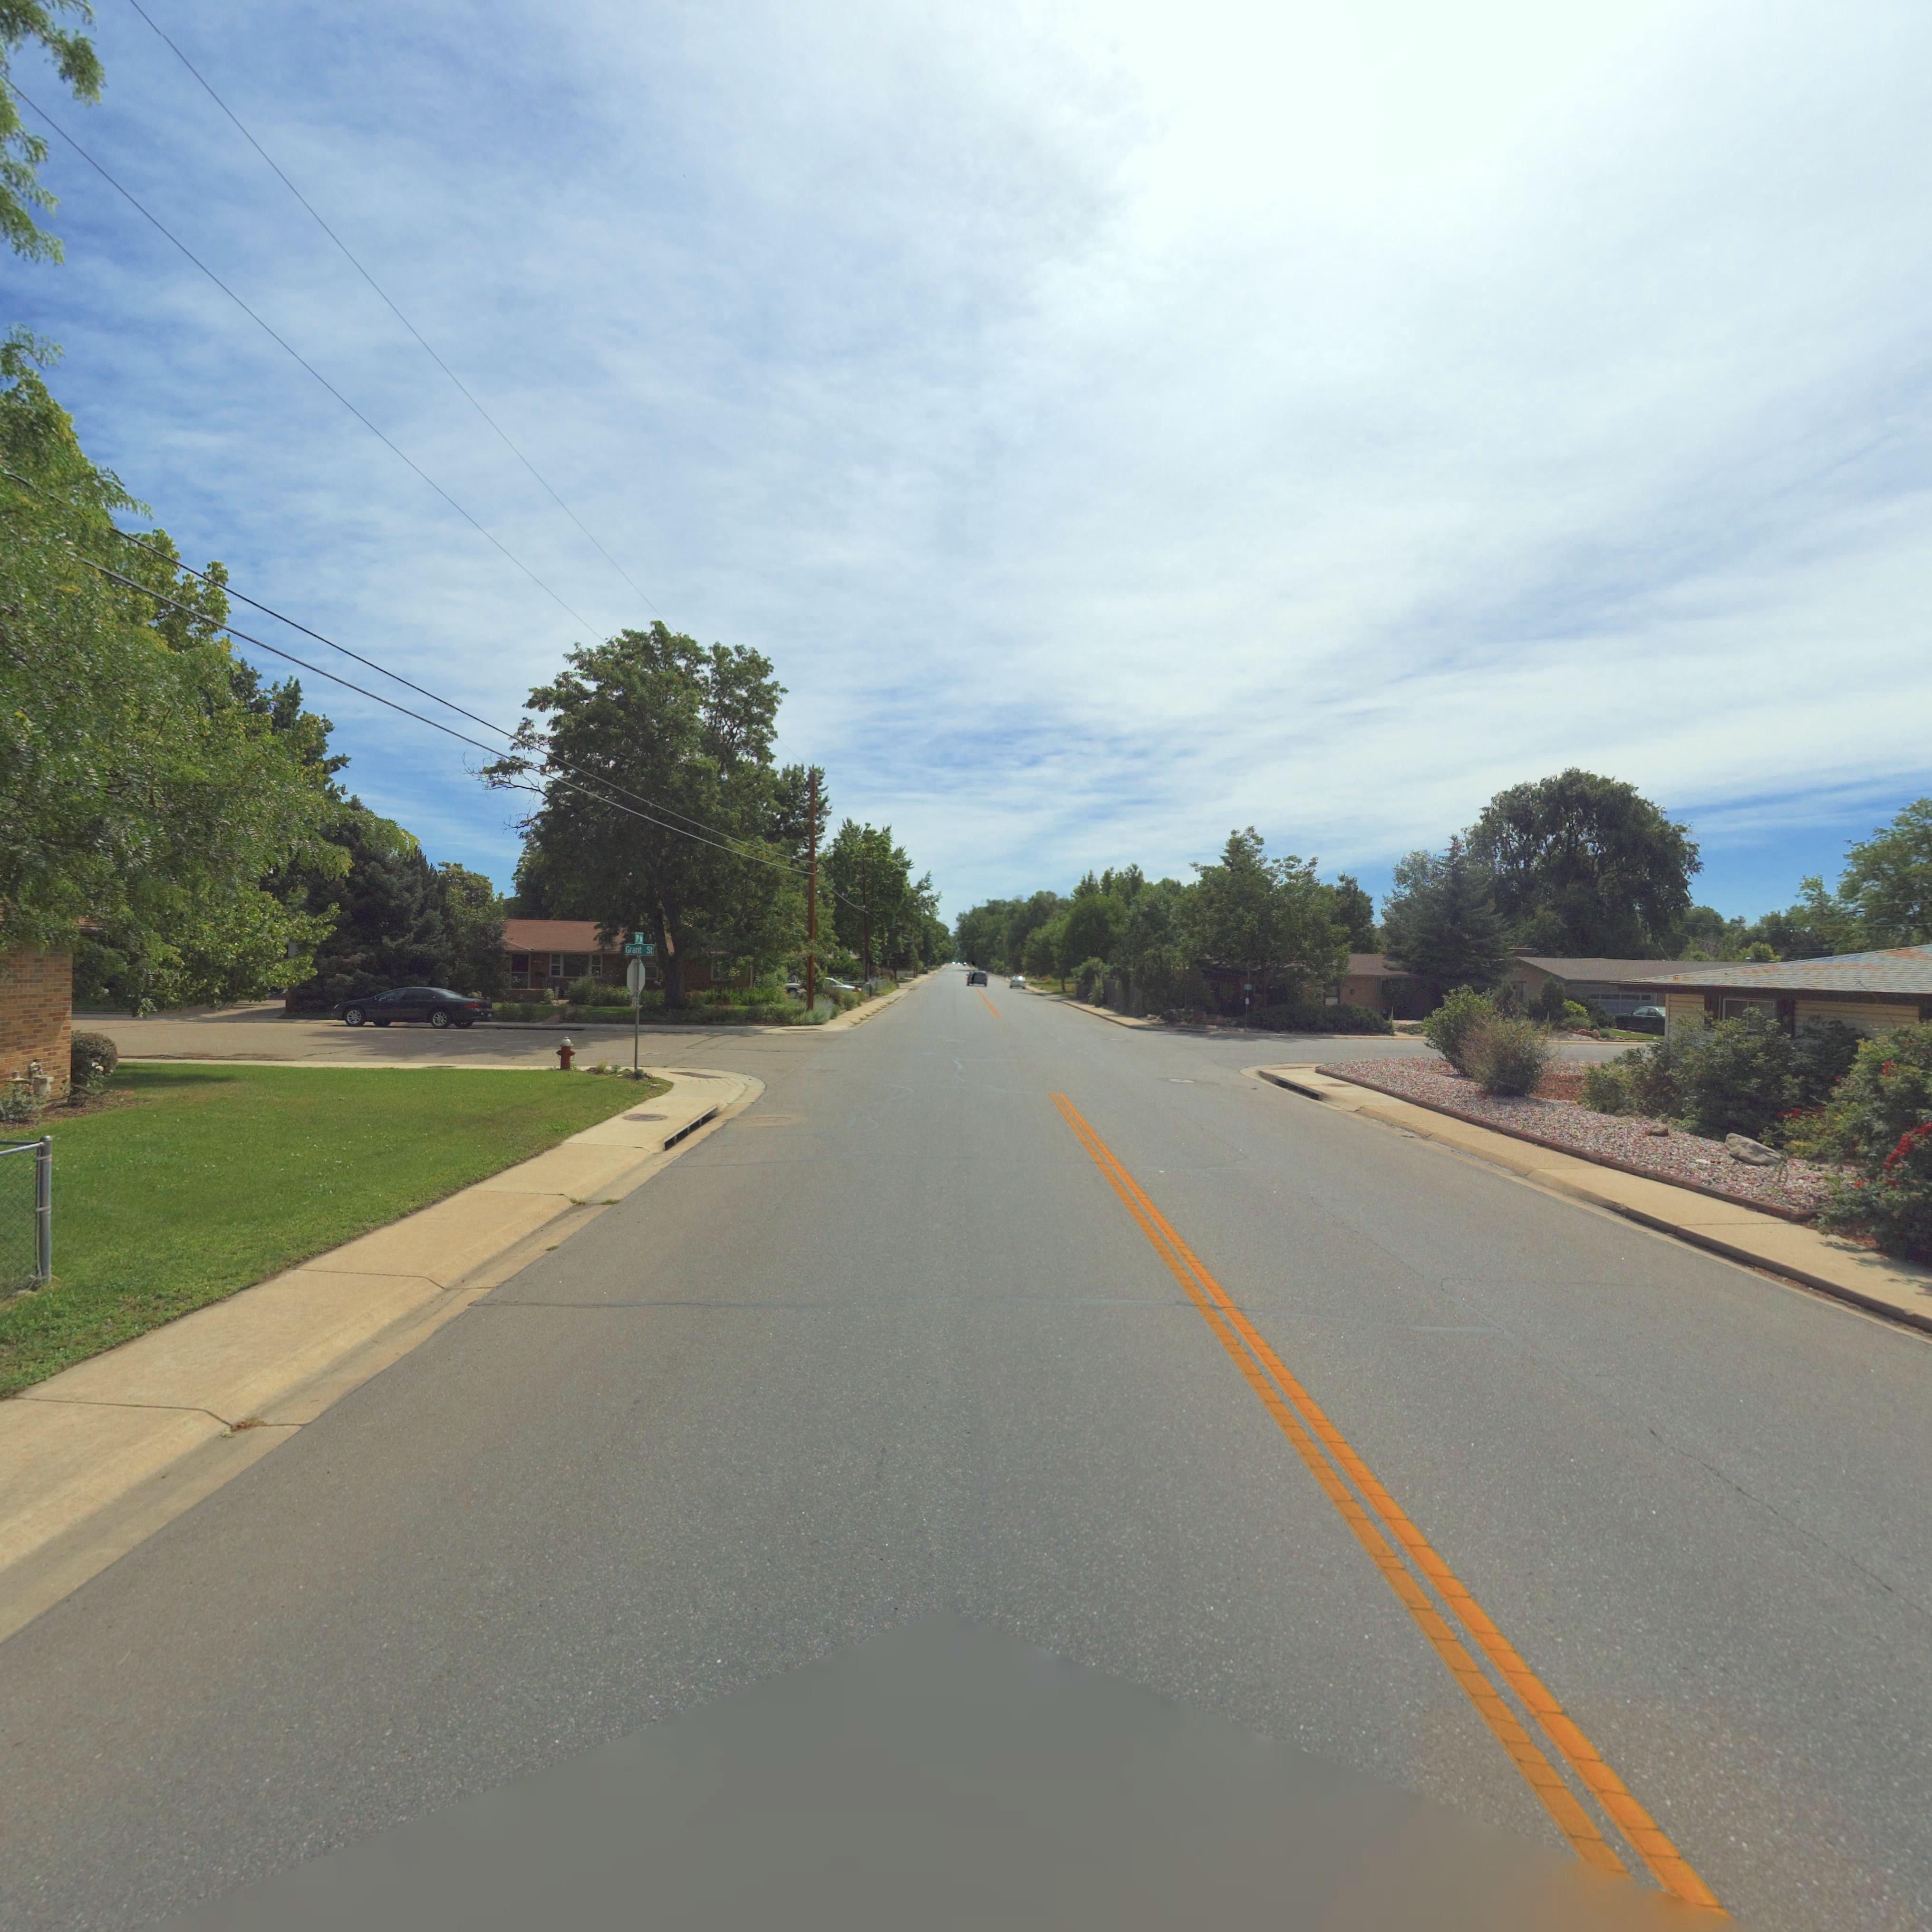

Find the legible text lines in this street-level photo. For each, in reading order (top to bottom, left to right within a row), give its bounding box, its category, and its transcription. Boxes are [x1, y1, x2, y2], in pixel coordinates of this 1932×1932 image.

[635, 934, 643, 942] None: 1* A*
[625, 945, 653, 954] StreetName: Grant St